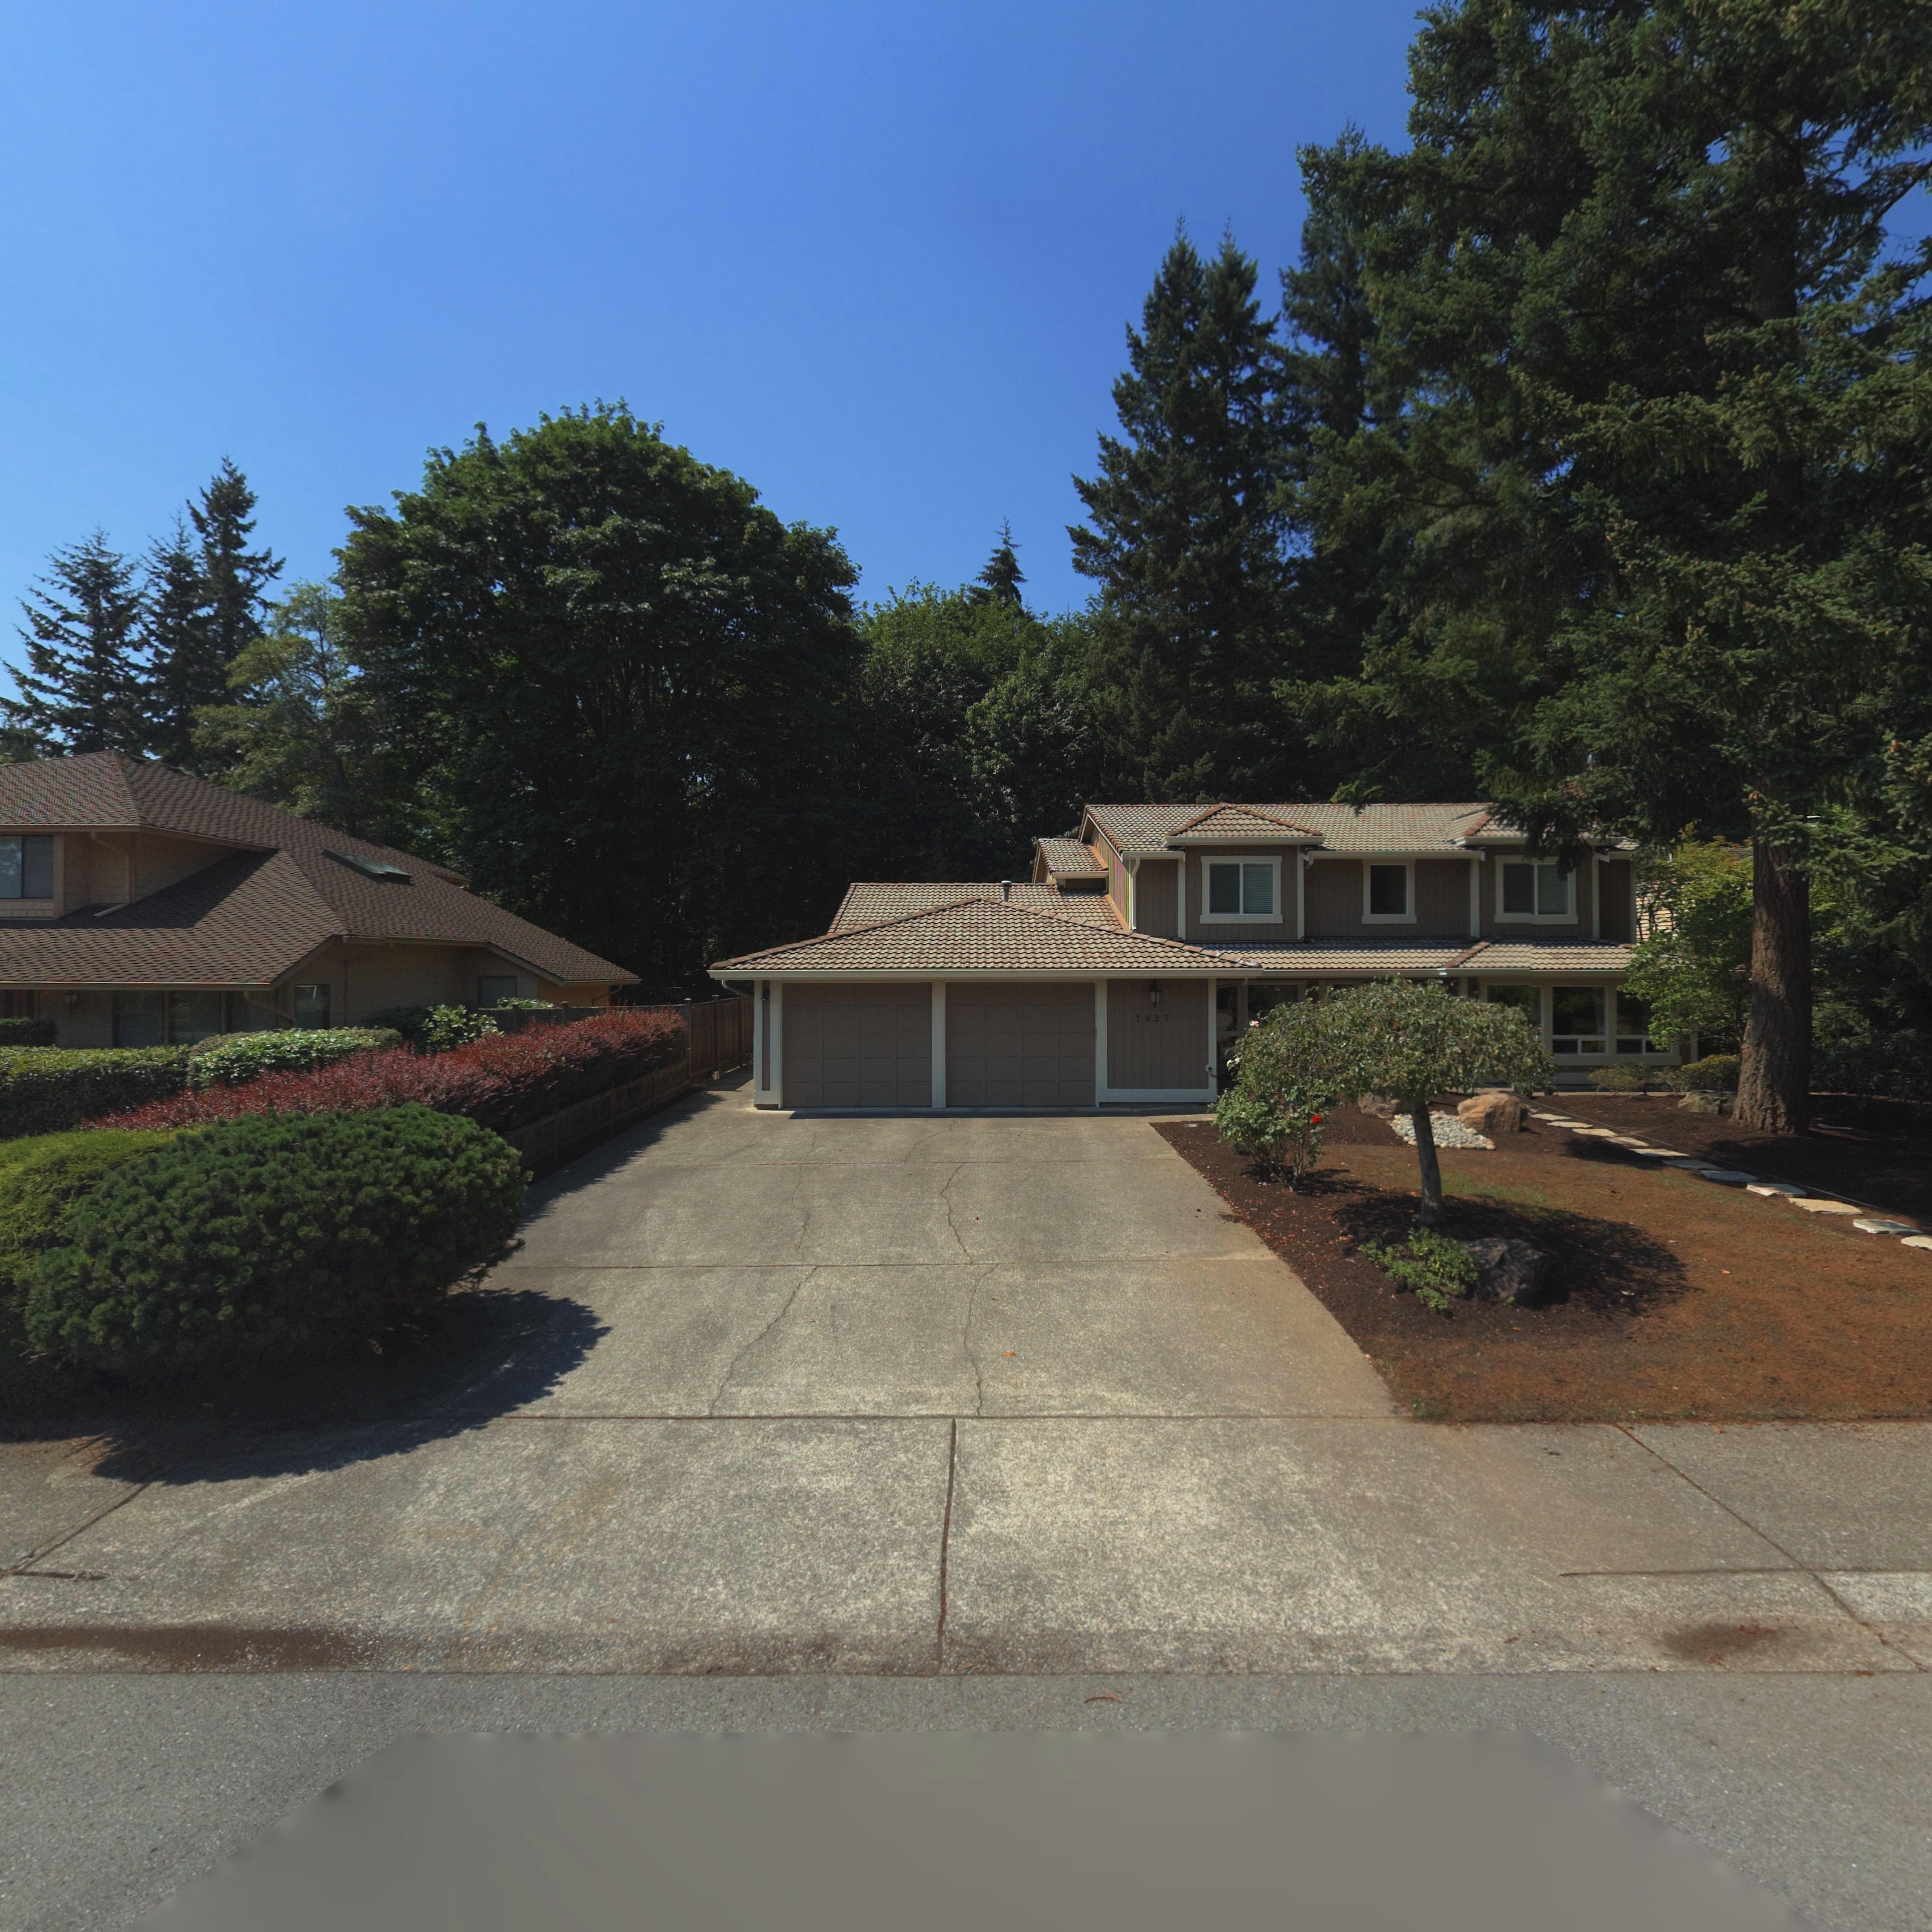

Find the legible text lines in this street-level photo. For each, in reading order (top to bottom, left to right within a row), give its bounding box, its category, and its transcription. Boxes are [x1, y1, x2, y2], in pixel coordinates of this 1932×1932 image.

[1135, 1013, 1170, 1023] StreetNumber: 1827